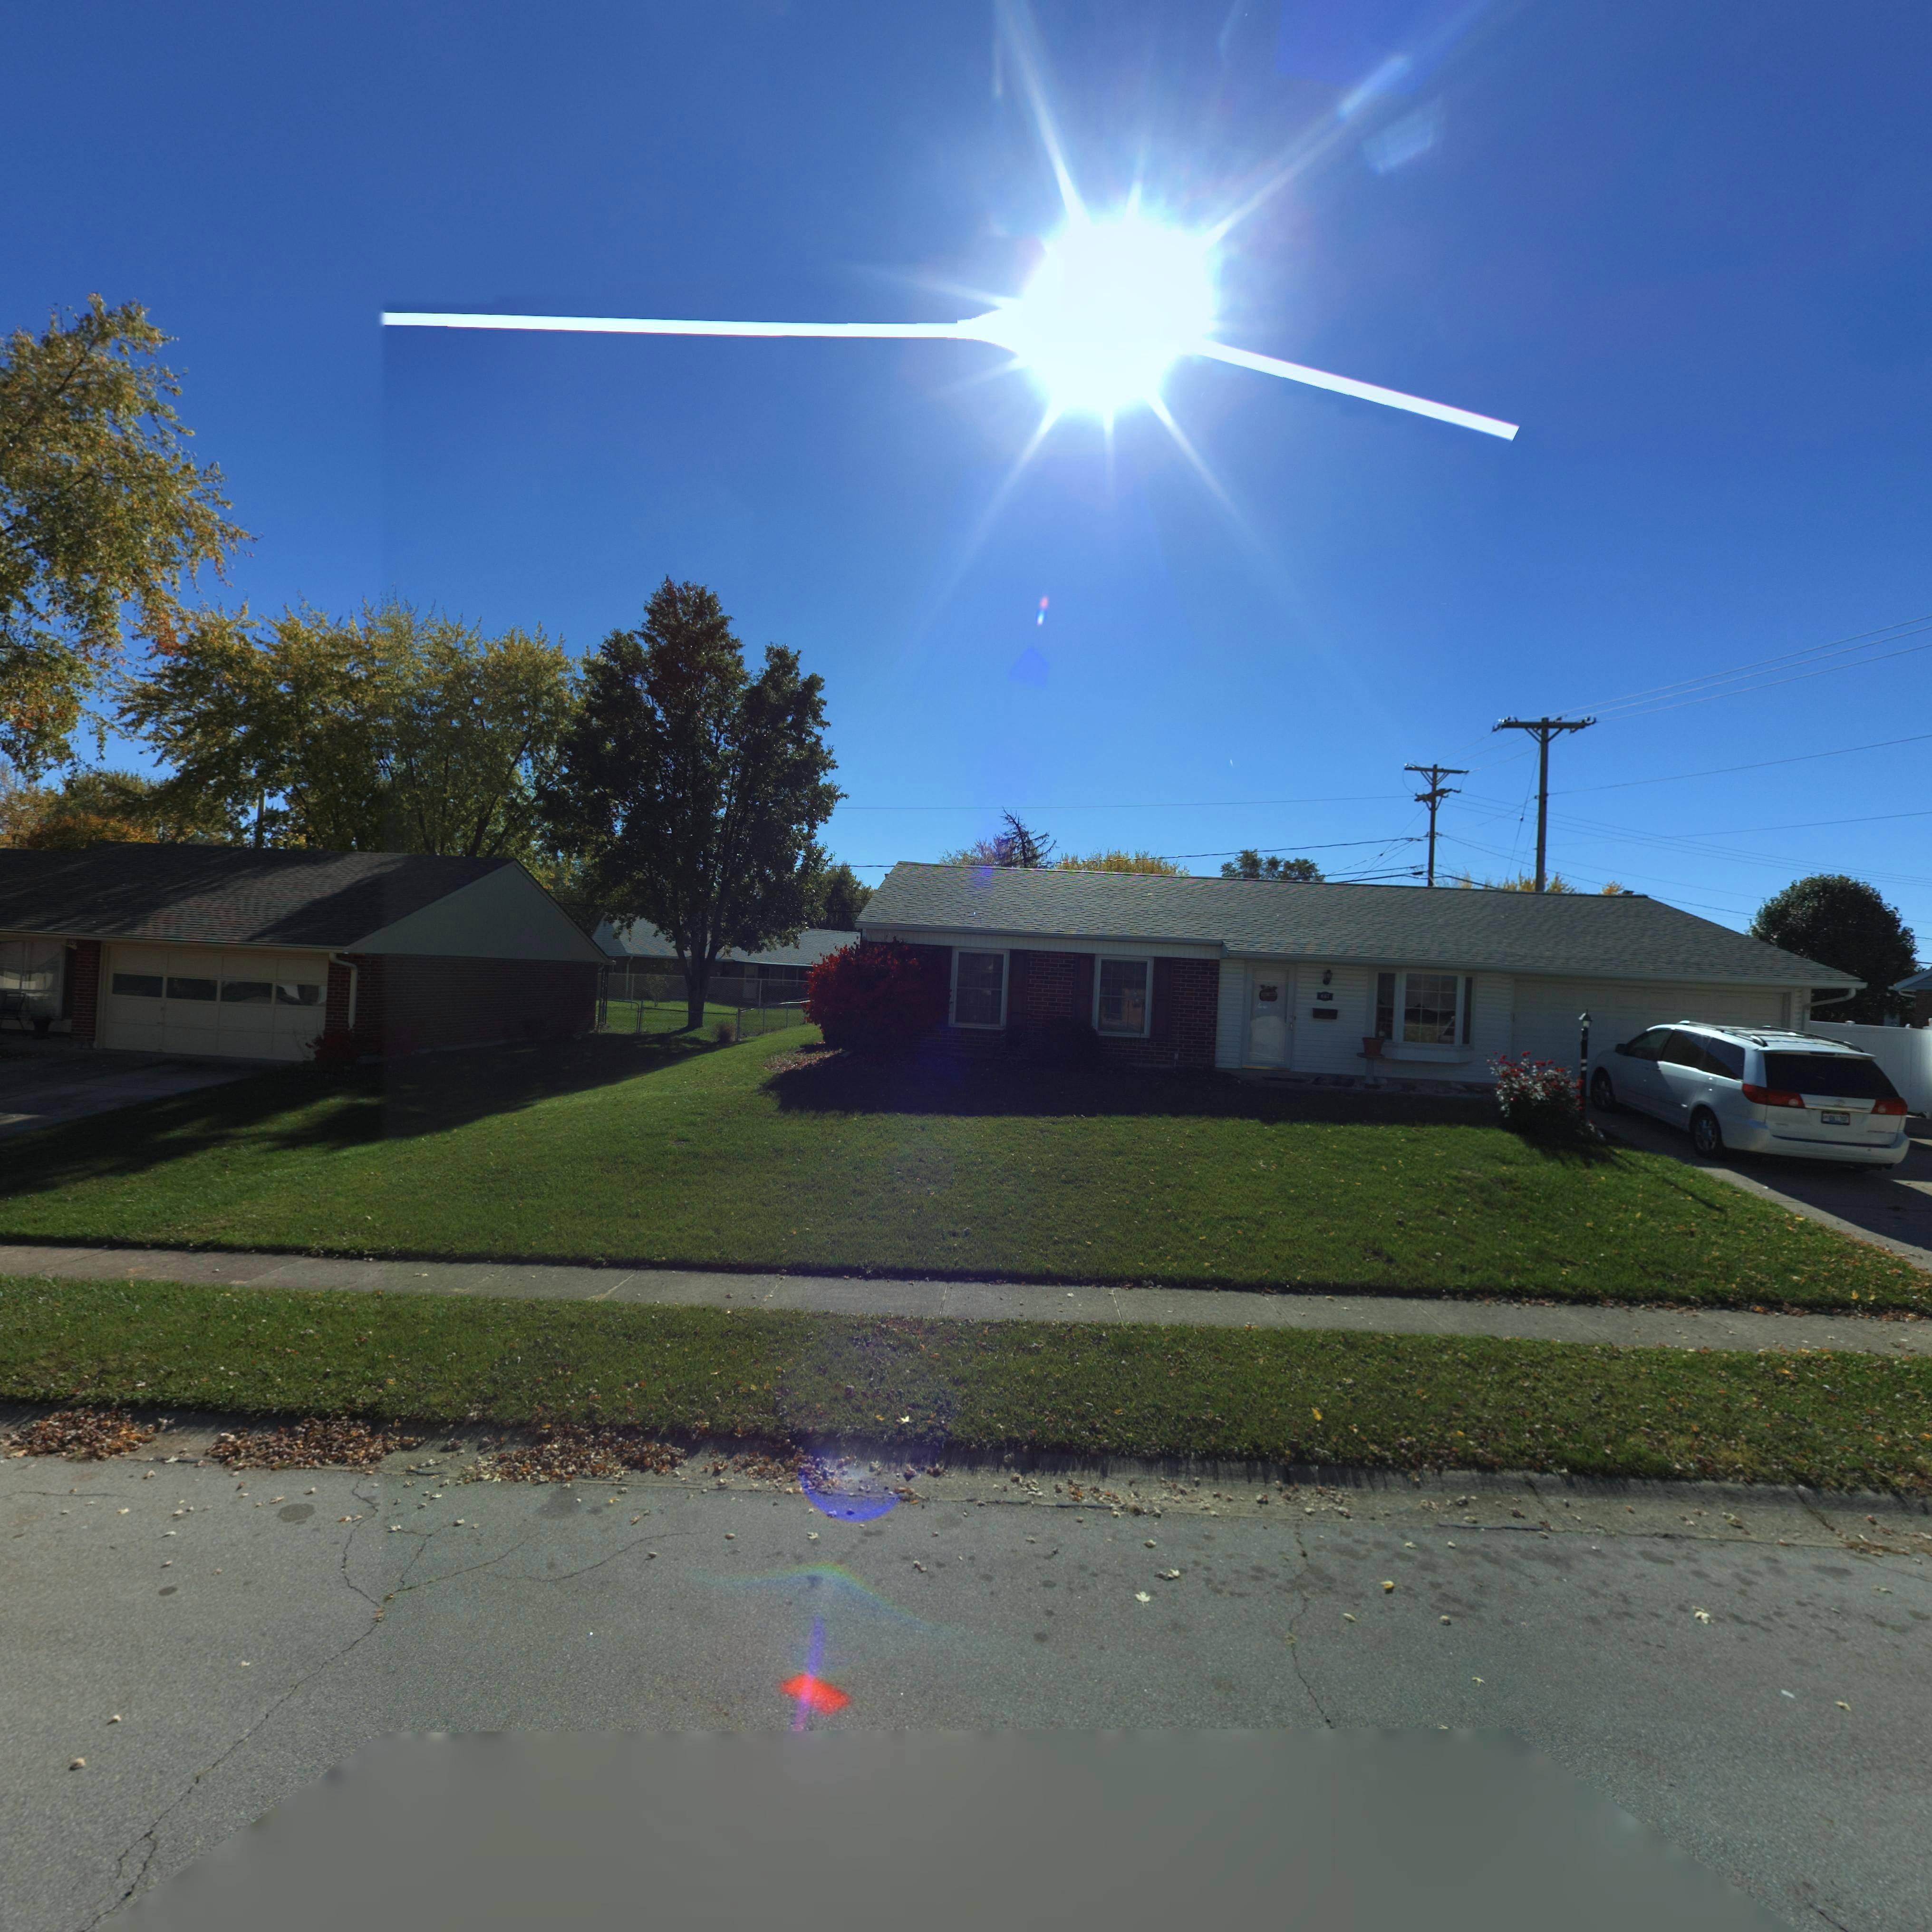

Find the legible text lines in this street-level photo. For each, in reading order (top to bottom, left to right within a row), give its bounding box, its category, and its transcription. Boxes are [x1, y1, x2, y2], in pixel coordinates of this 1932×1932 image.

[1320, 994, 1330, 999] StreetNumber: 807